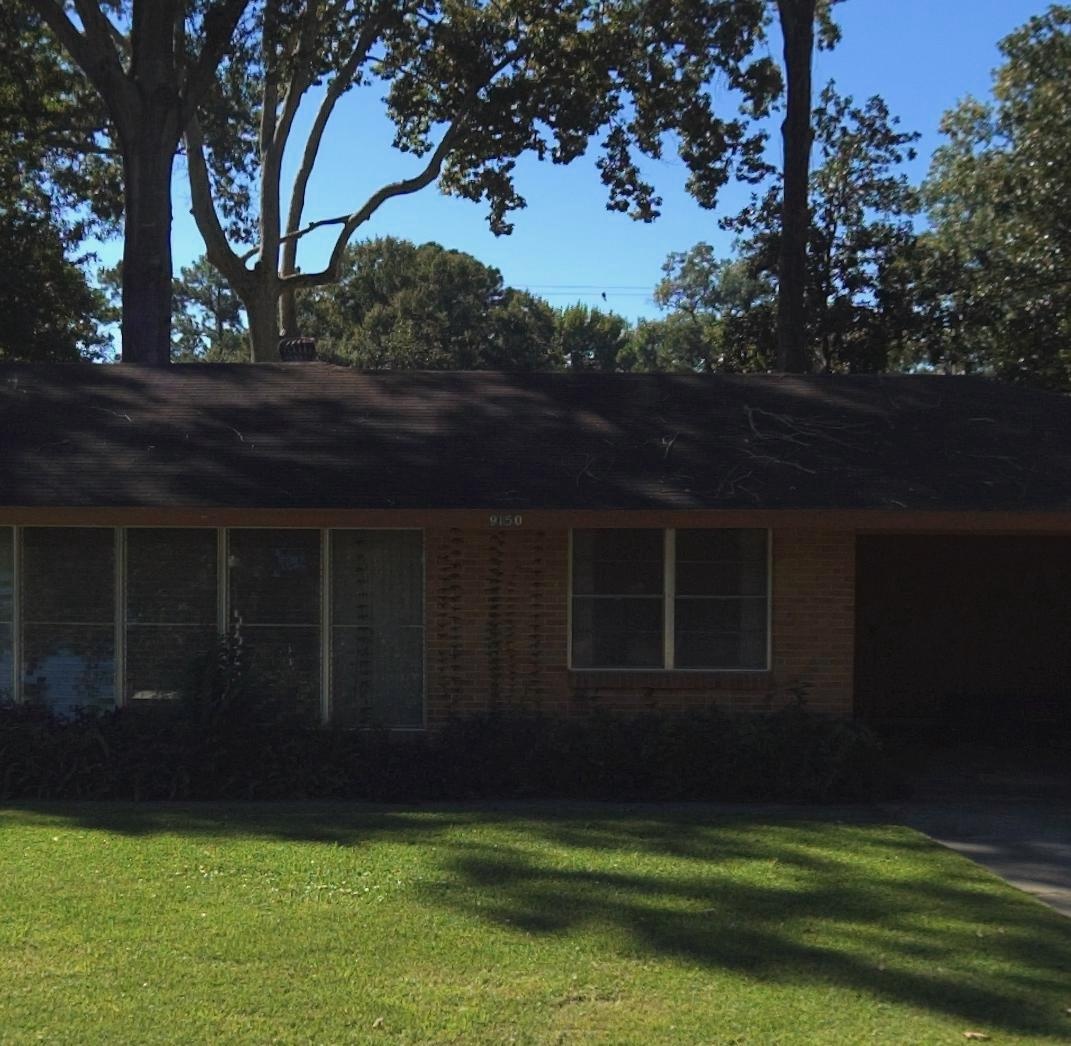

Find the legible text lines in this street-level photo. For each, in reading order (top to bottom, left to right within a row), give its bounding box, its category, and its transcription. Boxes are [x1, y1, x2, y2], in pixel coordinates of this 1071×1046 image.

[487, 513, 524, 529] StreetNumber: 9150